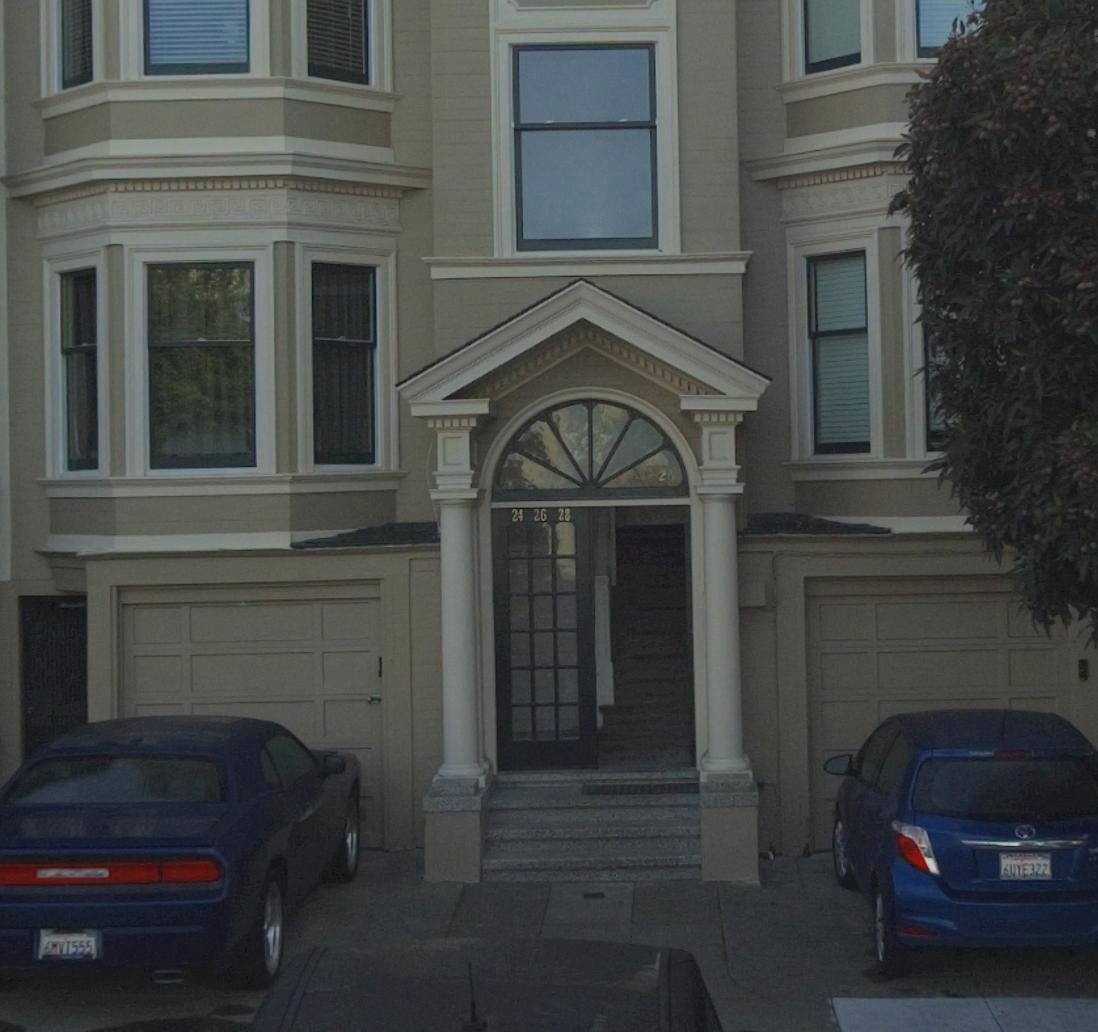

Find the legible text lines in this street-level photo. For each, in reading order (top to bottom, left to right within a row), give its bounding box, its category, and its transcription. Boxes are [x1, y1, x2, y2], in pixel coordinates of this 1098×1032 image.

[510, 507, 525, 523] StreetNumber: 24
[531, 507, 549, 523] StreetNumber: 26
[556, 506, 573, 523] StreetNumber: 28
[1002, 861, 1050, 879] None: 6UYE322
[42, 939, 94, 957] None: 6MC*555